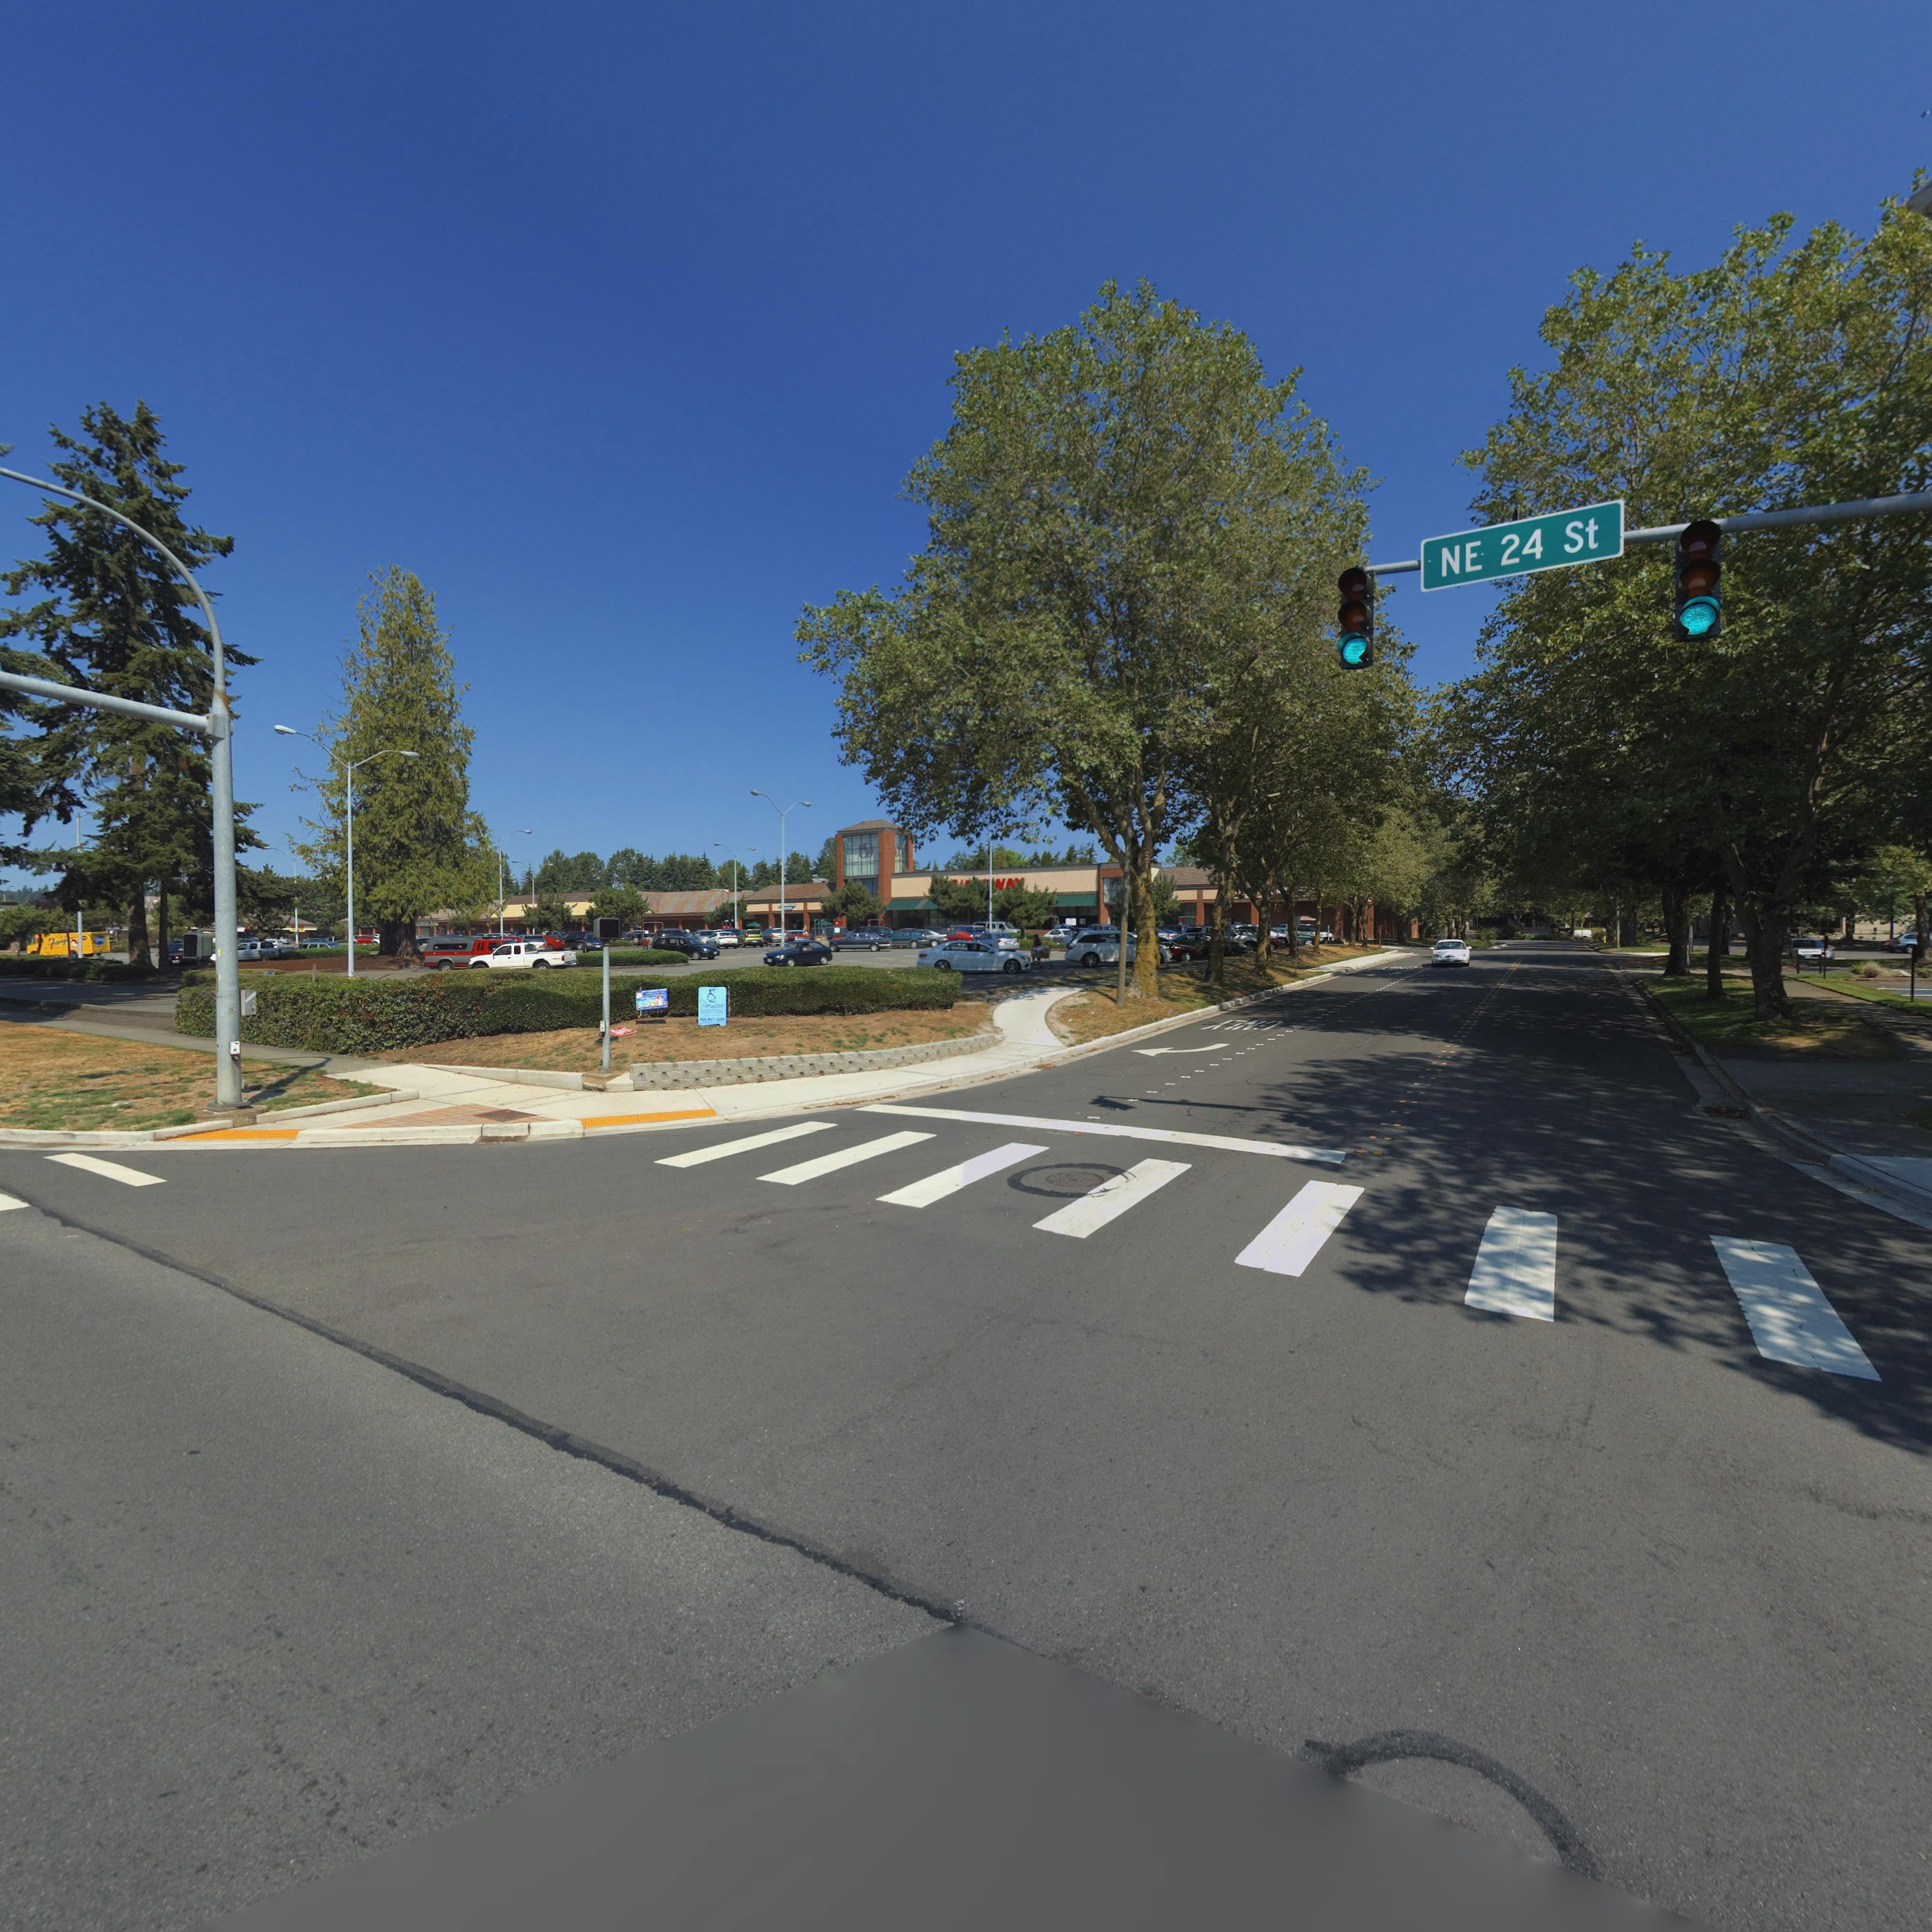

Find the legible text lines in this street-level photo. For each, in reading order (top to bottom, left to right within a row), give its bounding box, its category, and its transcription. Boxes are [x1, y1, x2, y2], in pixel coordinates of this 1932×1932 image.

[1437, 517, 1602, 577] StreetName: NE 24 St